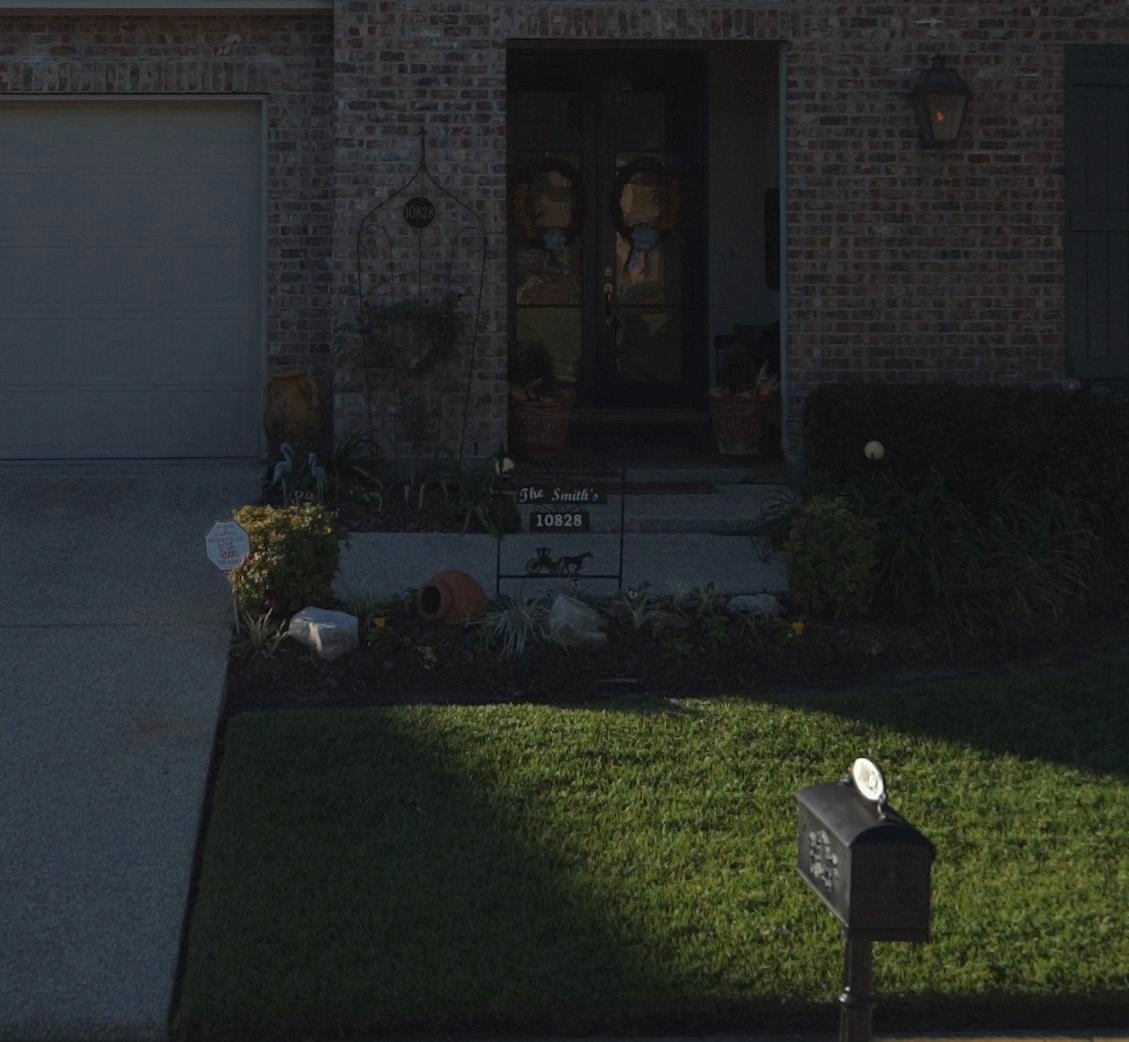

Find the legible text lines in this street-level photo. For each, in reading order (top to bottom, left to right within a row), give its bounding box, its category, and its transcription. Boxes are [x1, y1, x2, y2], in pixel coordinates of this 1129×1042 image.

[516, 484, 600, 504] None: The Smith's
[534, 511, 584, 529] StreetNumber: 10828